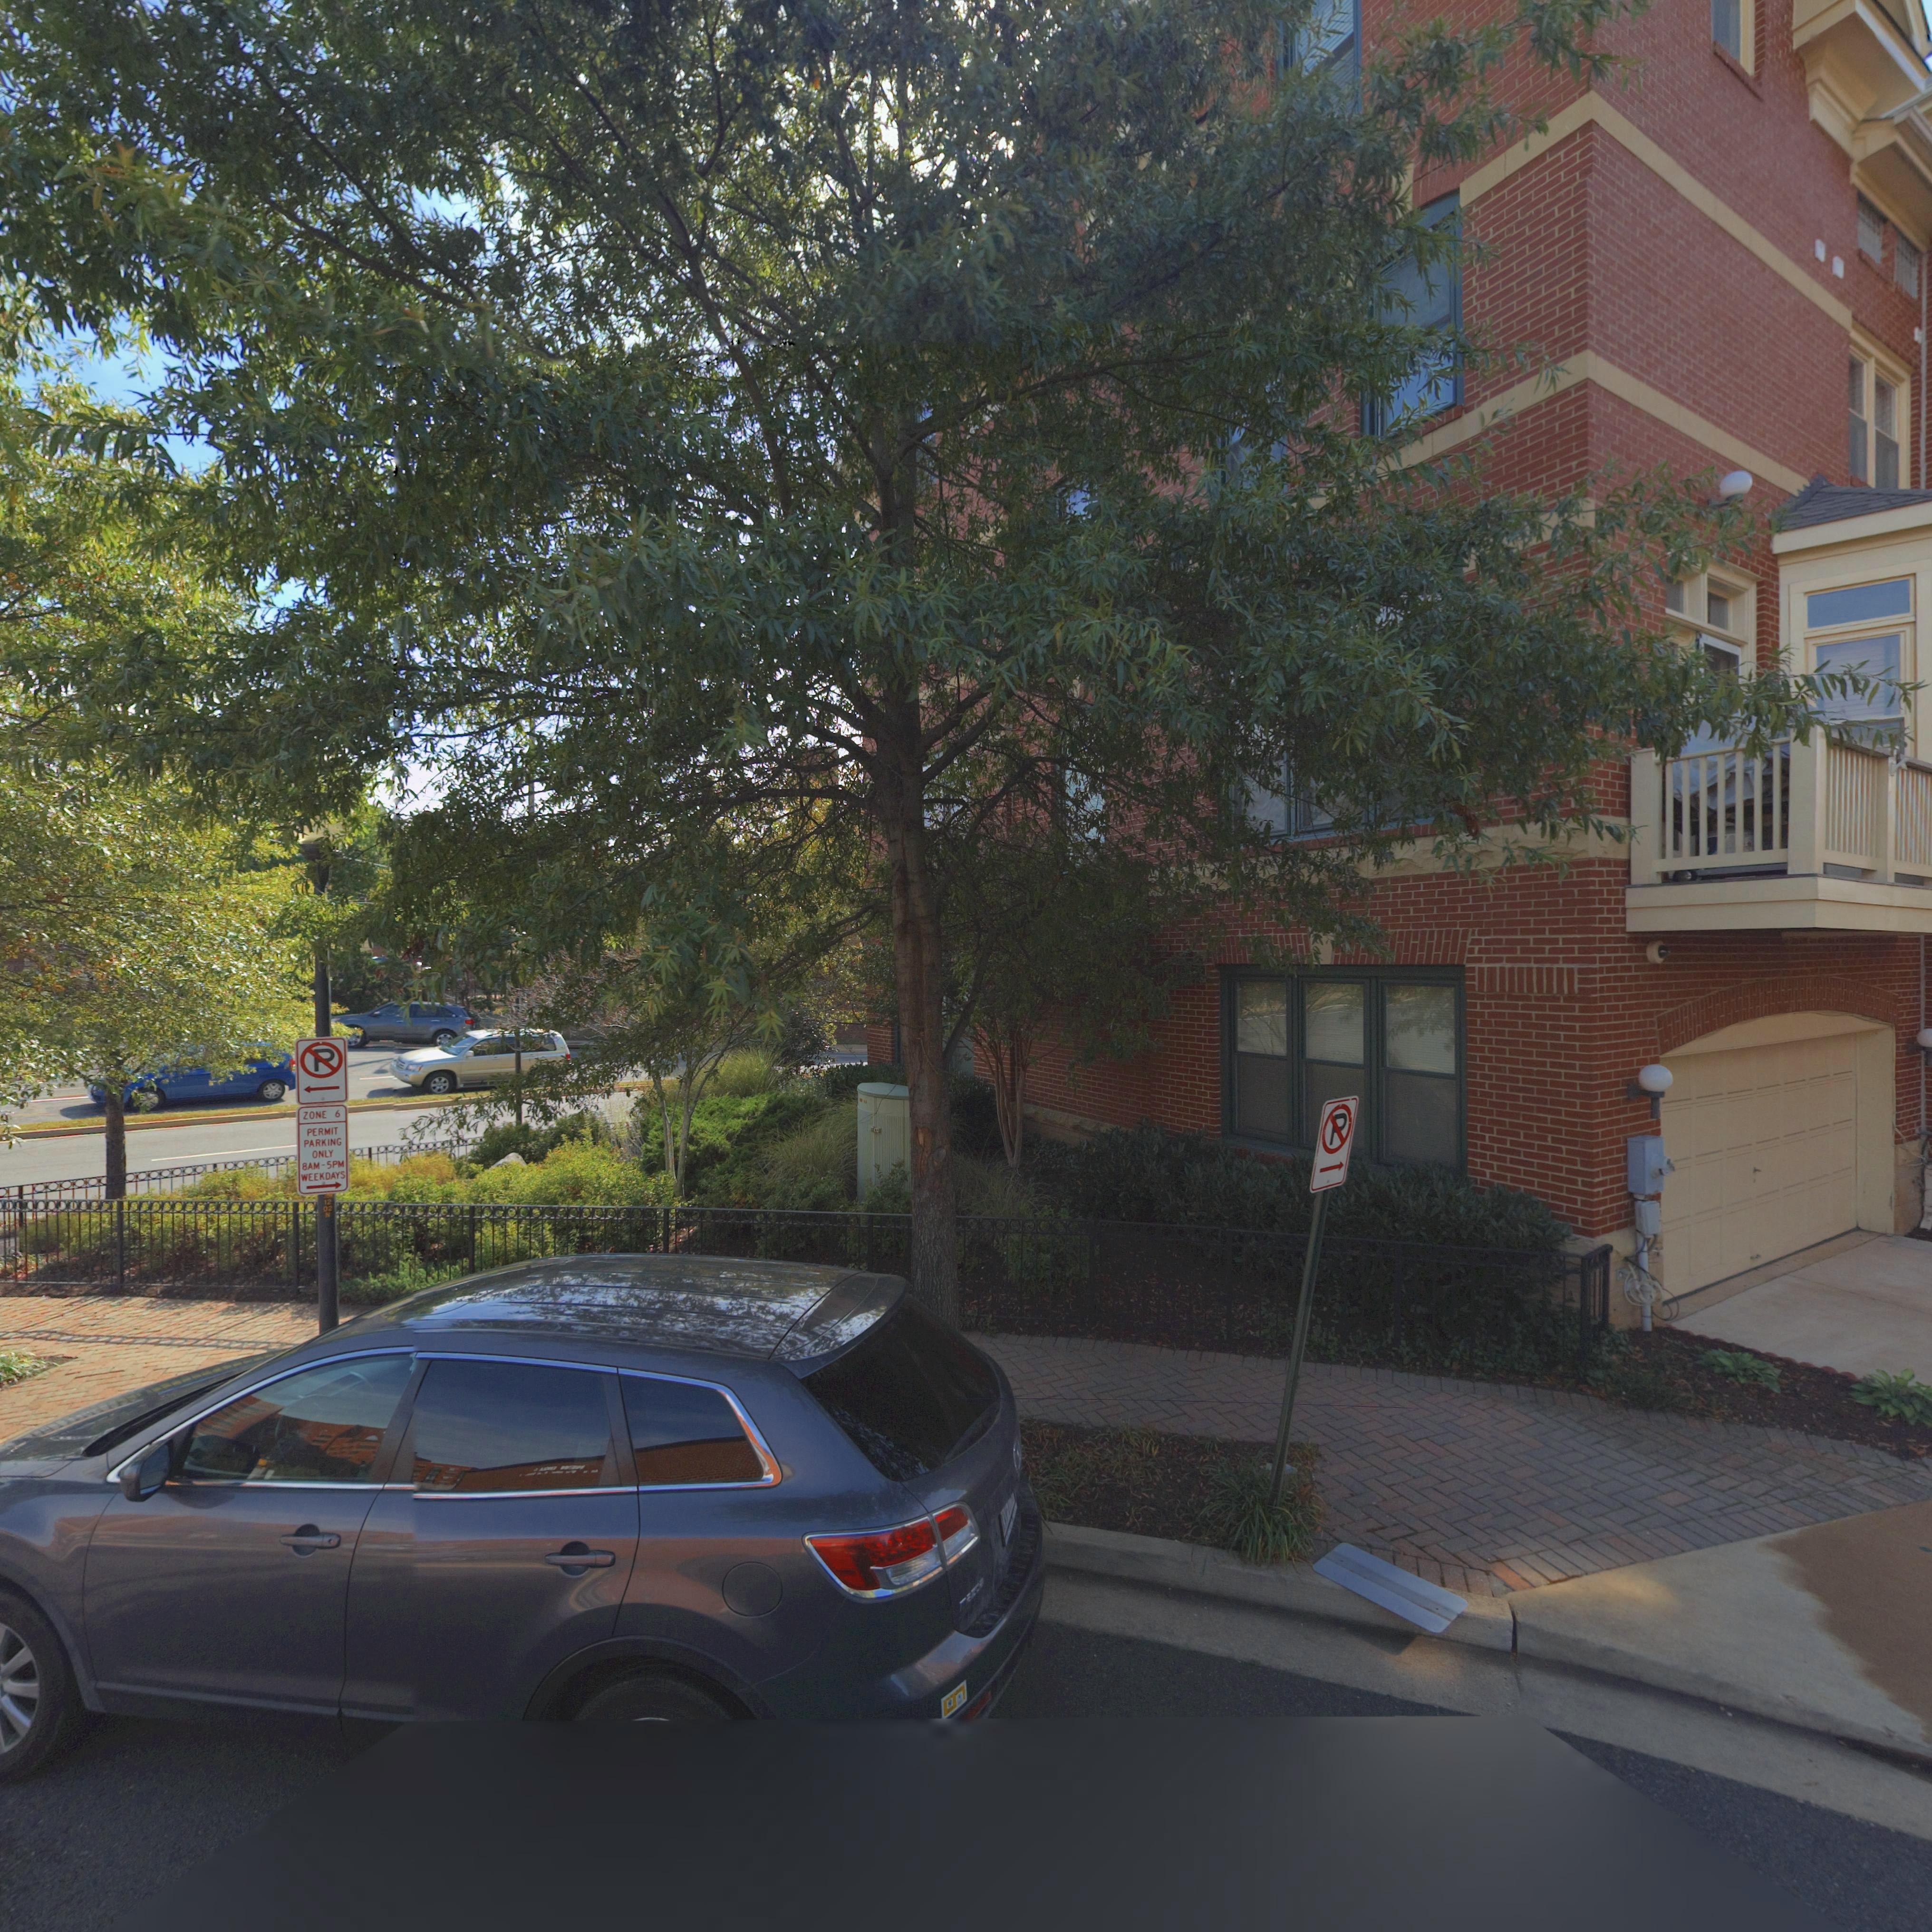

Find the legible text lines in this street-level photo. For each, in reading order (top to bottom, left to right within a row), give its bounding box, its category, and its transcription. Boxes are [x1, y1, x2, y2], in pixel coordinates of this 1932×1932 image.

[303, 1109, 340, 1121] None: ZONE 6
[306, 1126, 338, 1137] None: PERMIT
[303, 1137, 342, 1148] None: PARKING
[312, 1149, 334, 1159] None: ONLY
[301, 1160, 344, 1171] None: 8AM-5PM
[300, 1170, 346, 1182] None: WEEKDAYS
[324, 1198, 332, 1205] None: 12
[323, 1205, 333, 1212] None: 02
[325, 1211, 330, 1218] None: N
[959, 1576, 985, 1613] None: mazDa